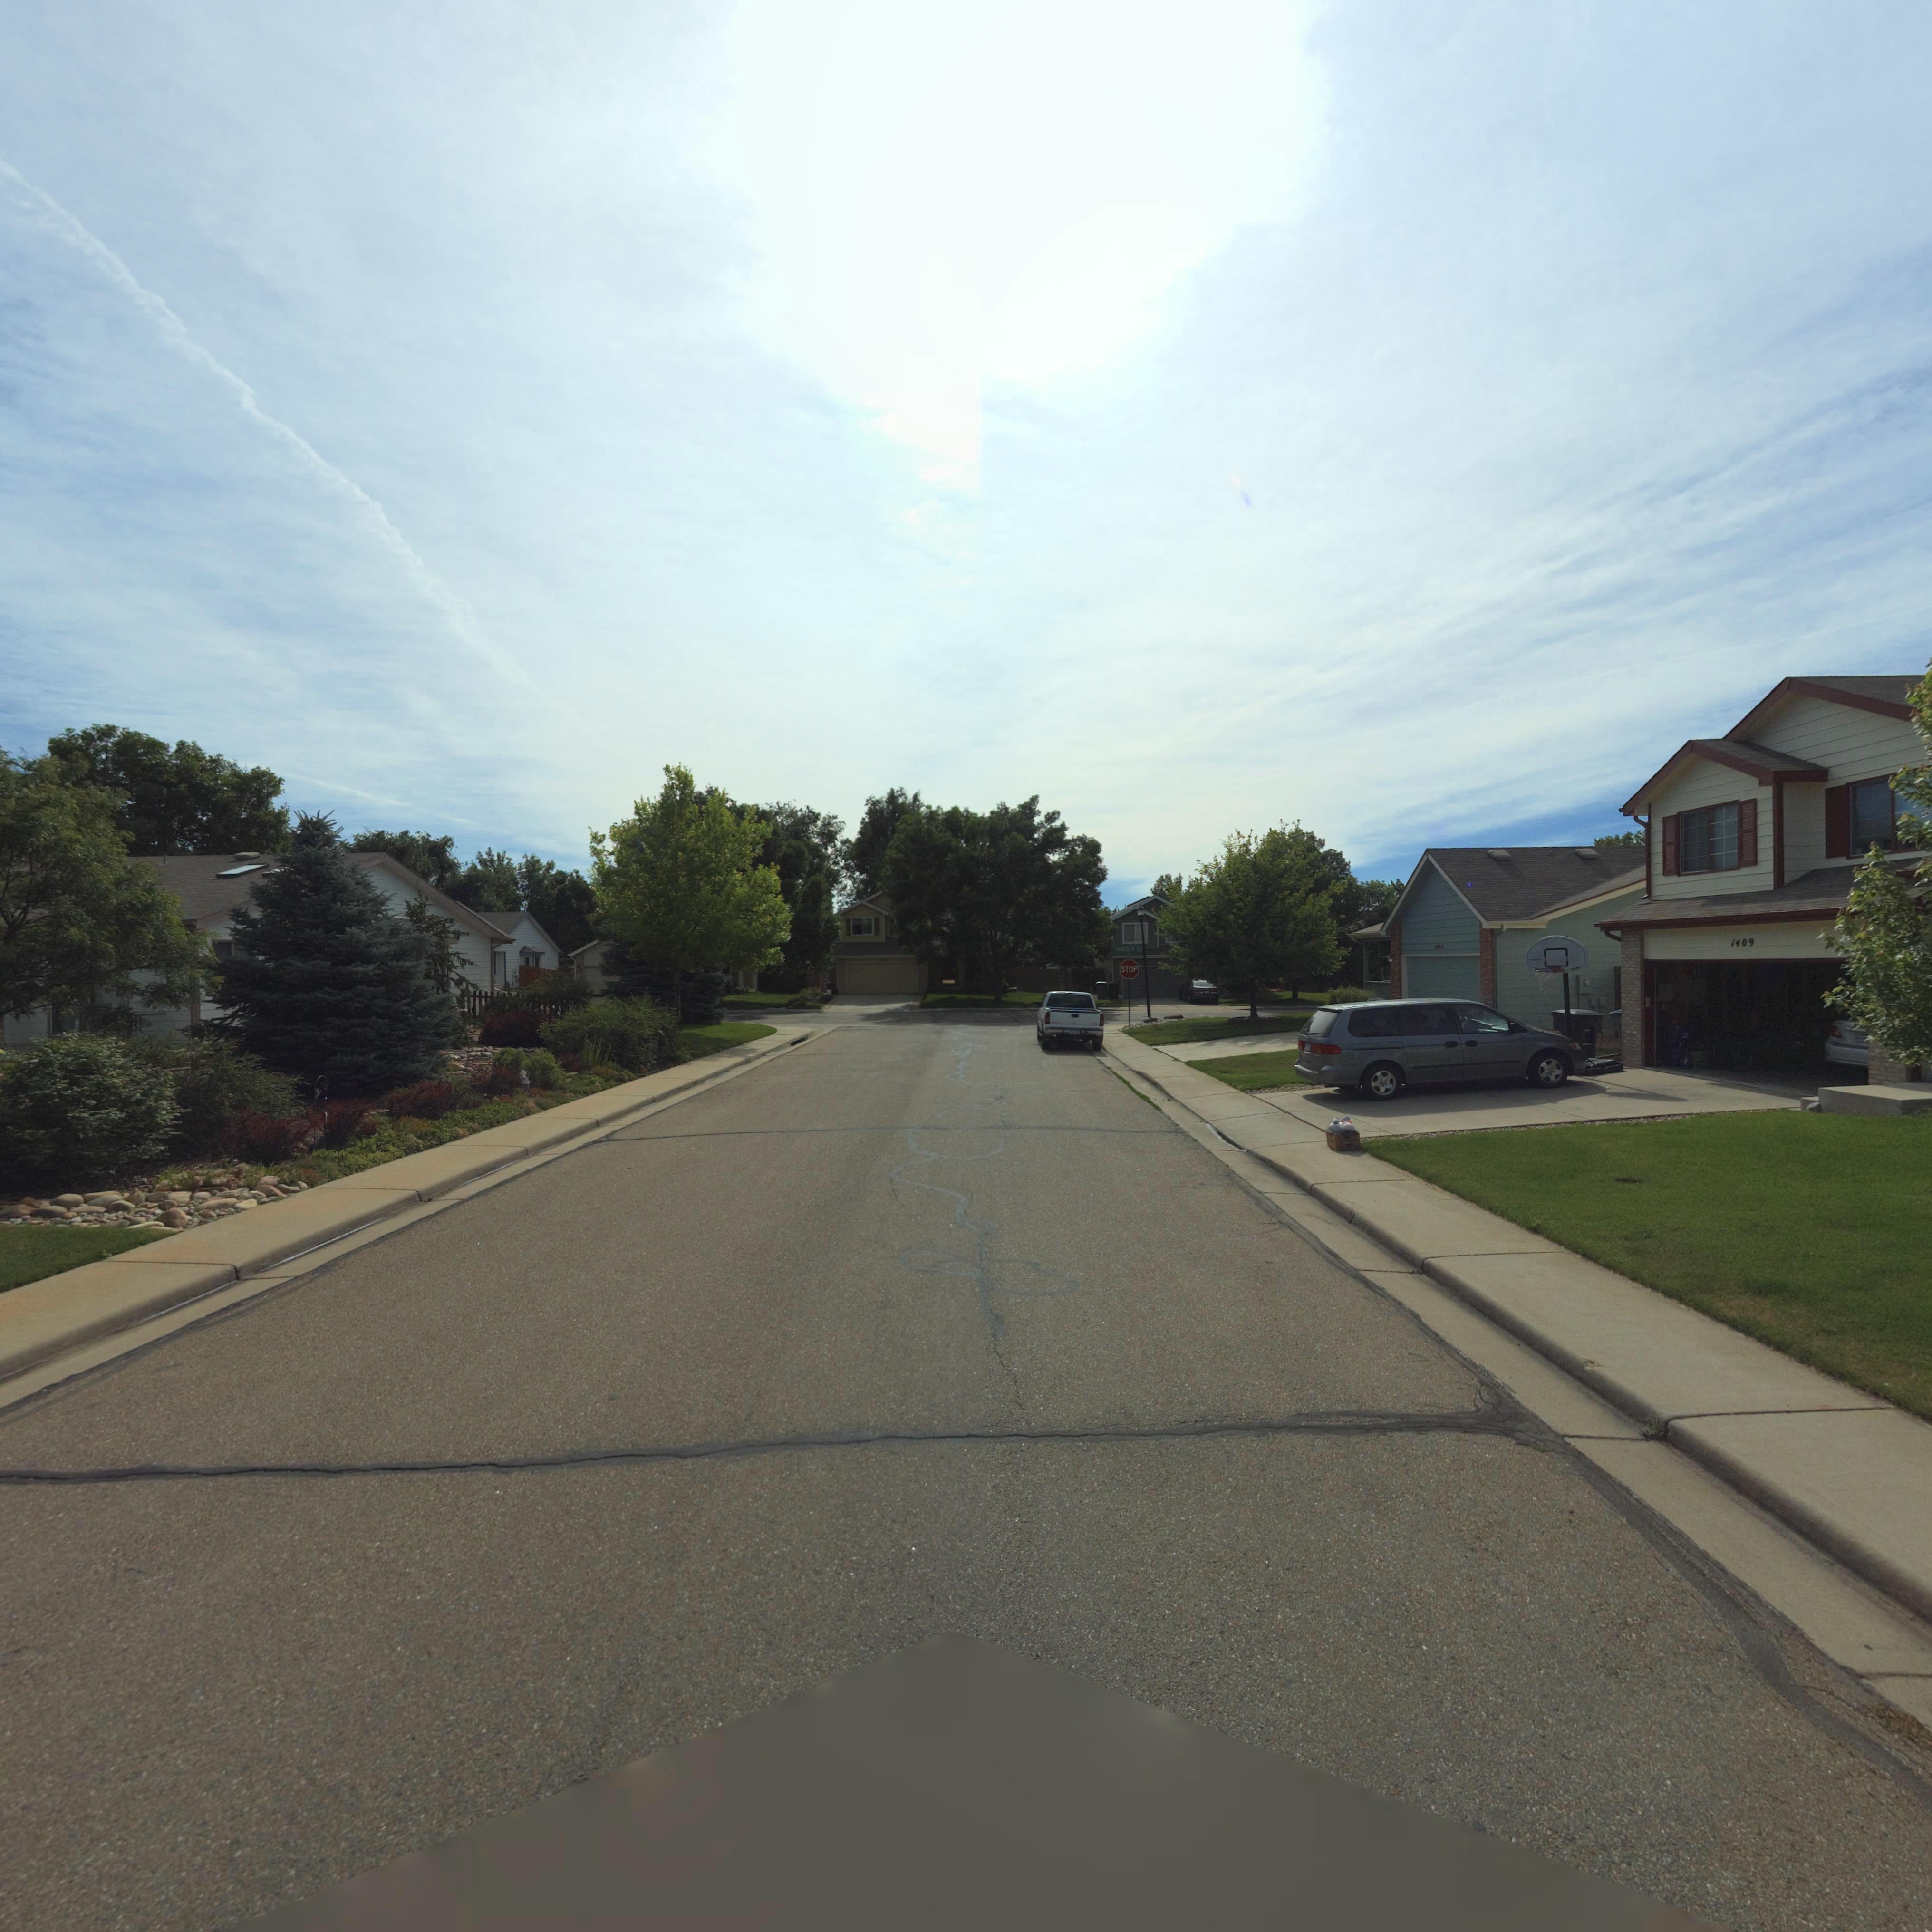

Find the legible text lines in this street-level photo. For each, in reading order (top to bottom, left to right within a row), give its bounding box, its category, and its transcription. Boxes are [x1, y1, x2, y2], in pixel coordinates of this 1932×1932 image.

[1730, 937, 1754, 947] StreetNumber: 1409
[1116, 946, 1141, 952] StreetName: LINCOLN ST
[1433, 944, 1444, 949] StreetNumber: 14**